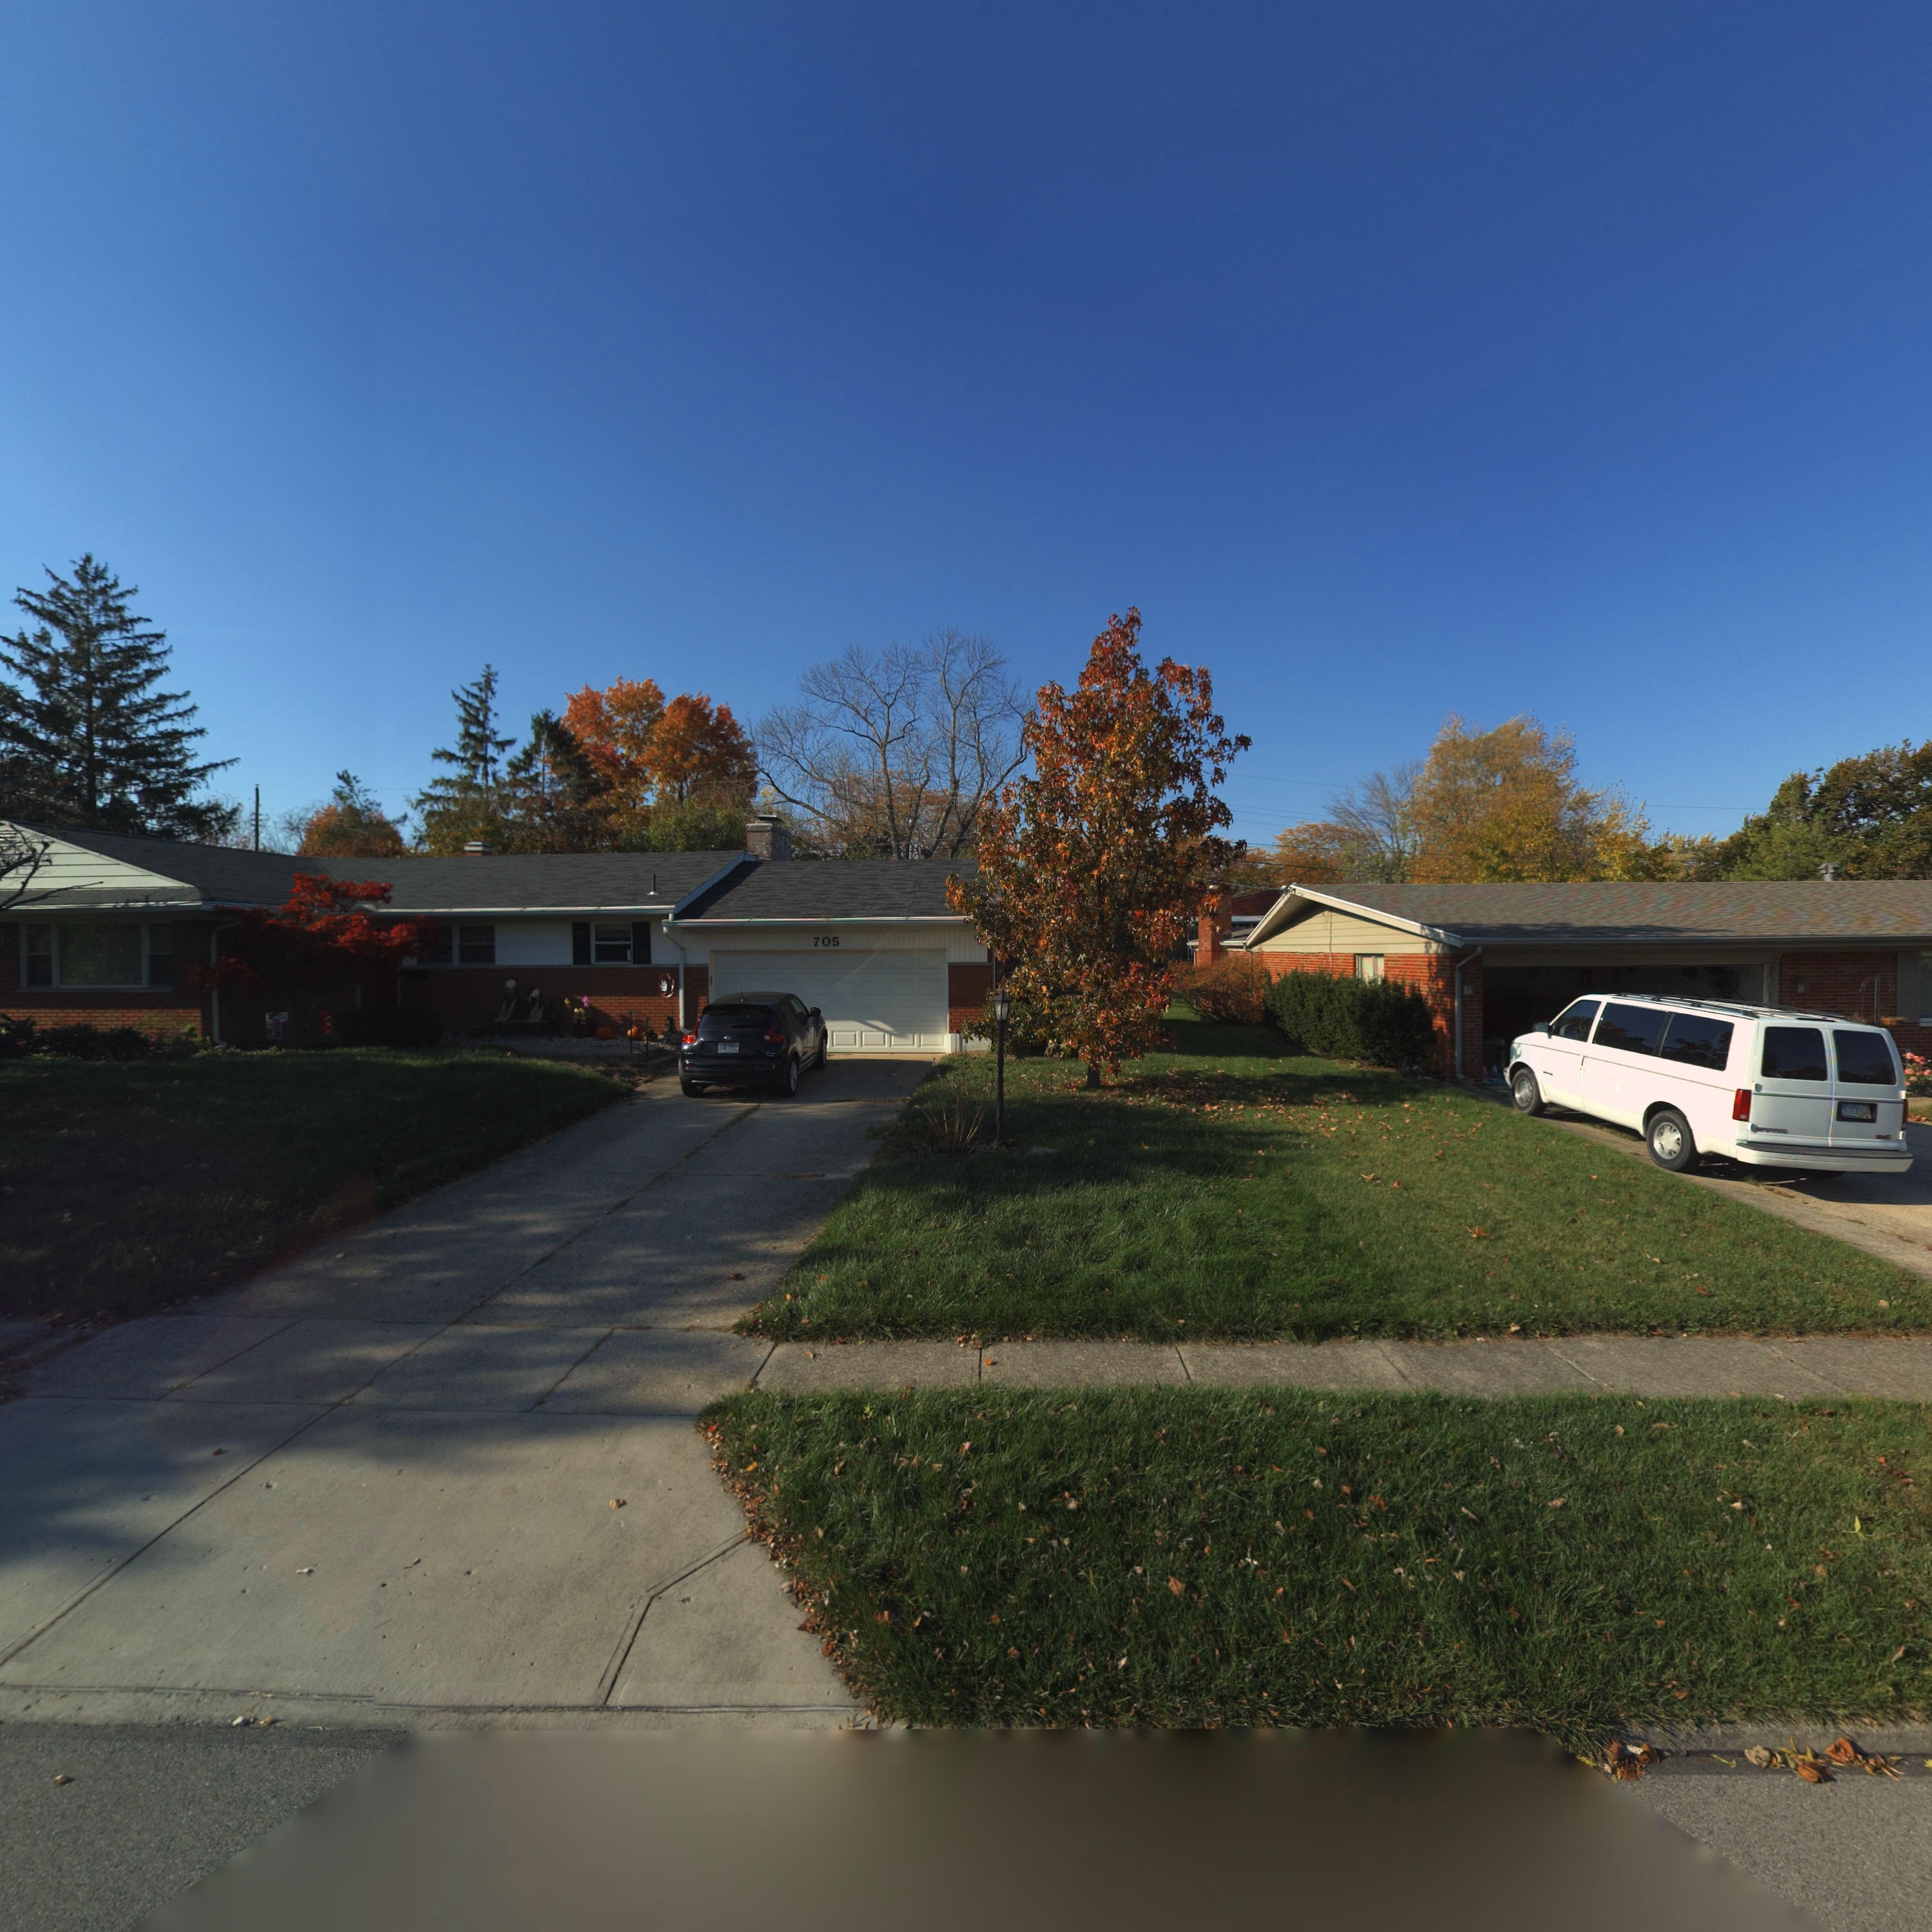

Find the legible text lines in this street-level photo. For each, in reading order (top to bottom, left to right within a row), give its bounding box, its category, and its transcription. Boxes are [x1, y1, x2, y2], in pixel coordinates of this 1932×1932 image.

[812, 936, 840, 947] StreetNumber: 705